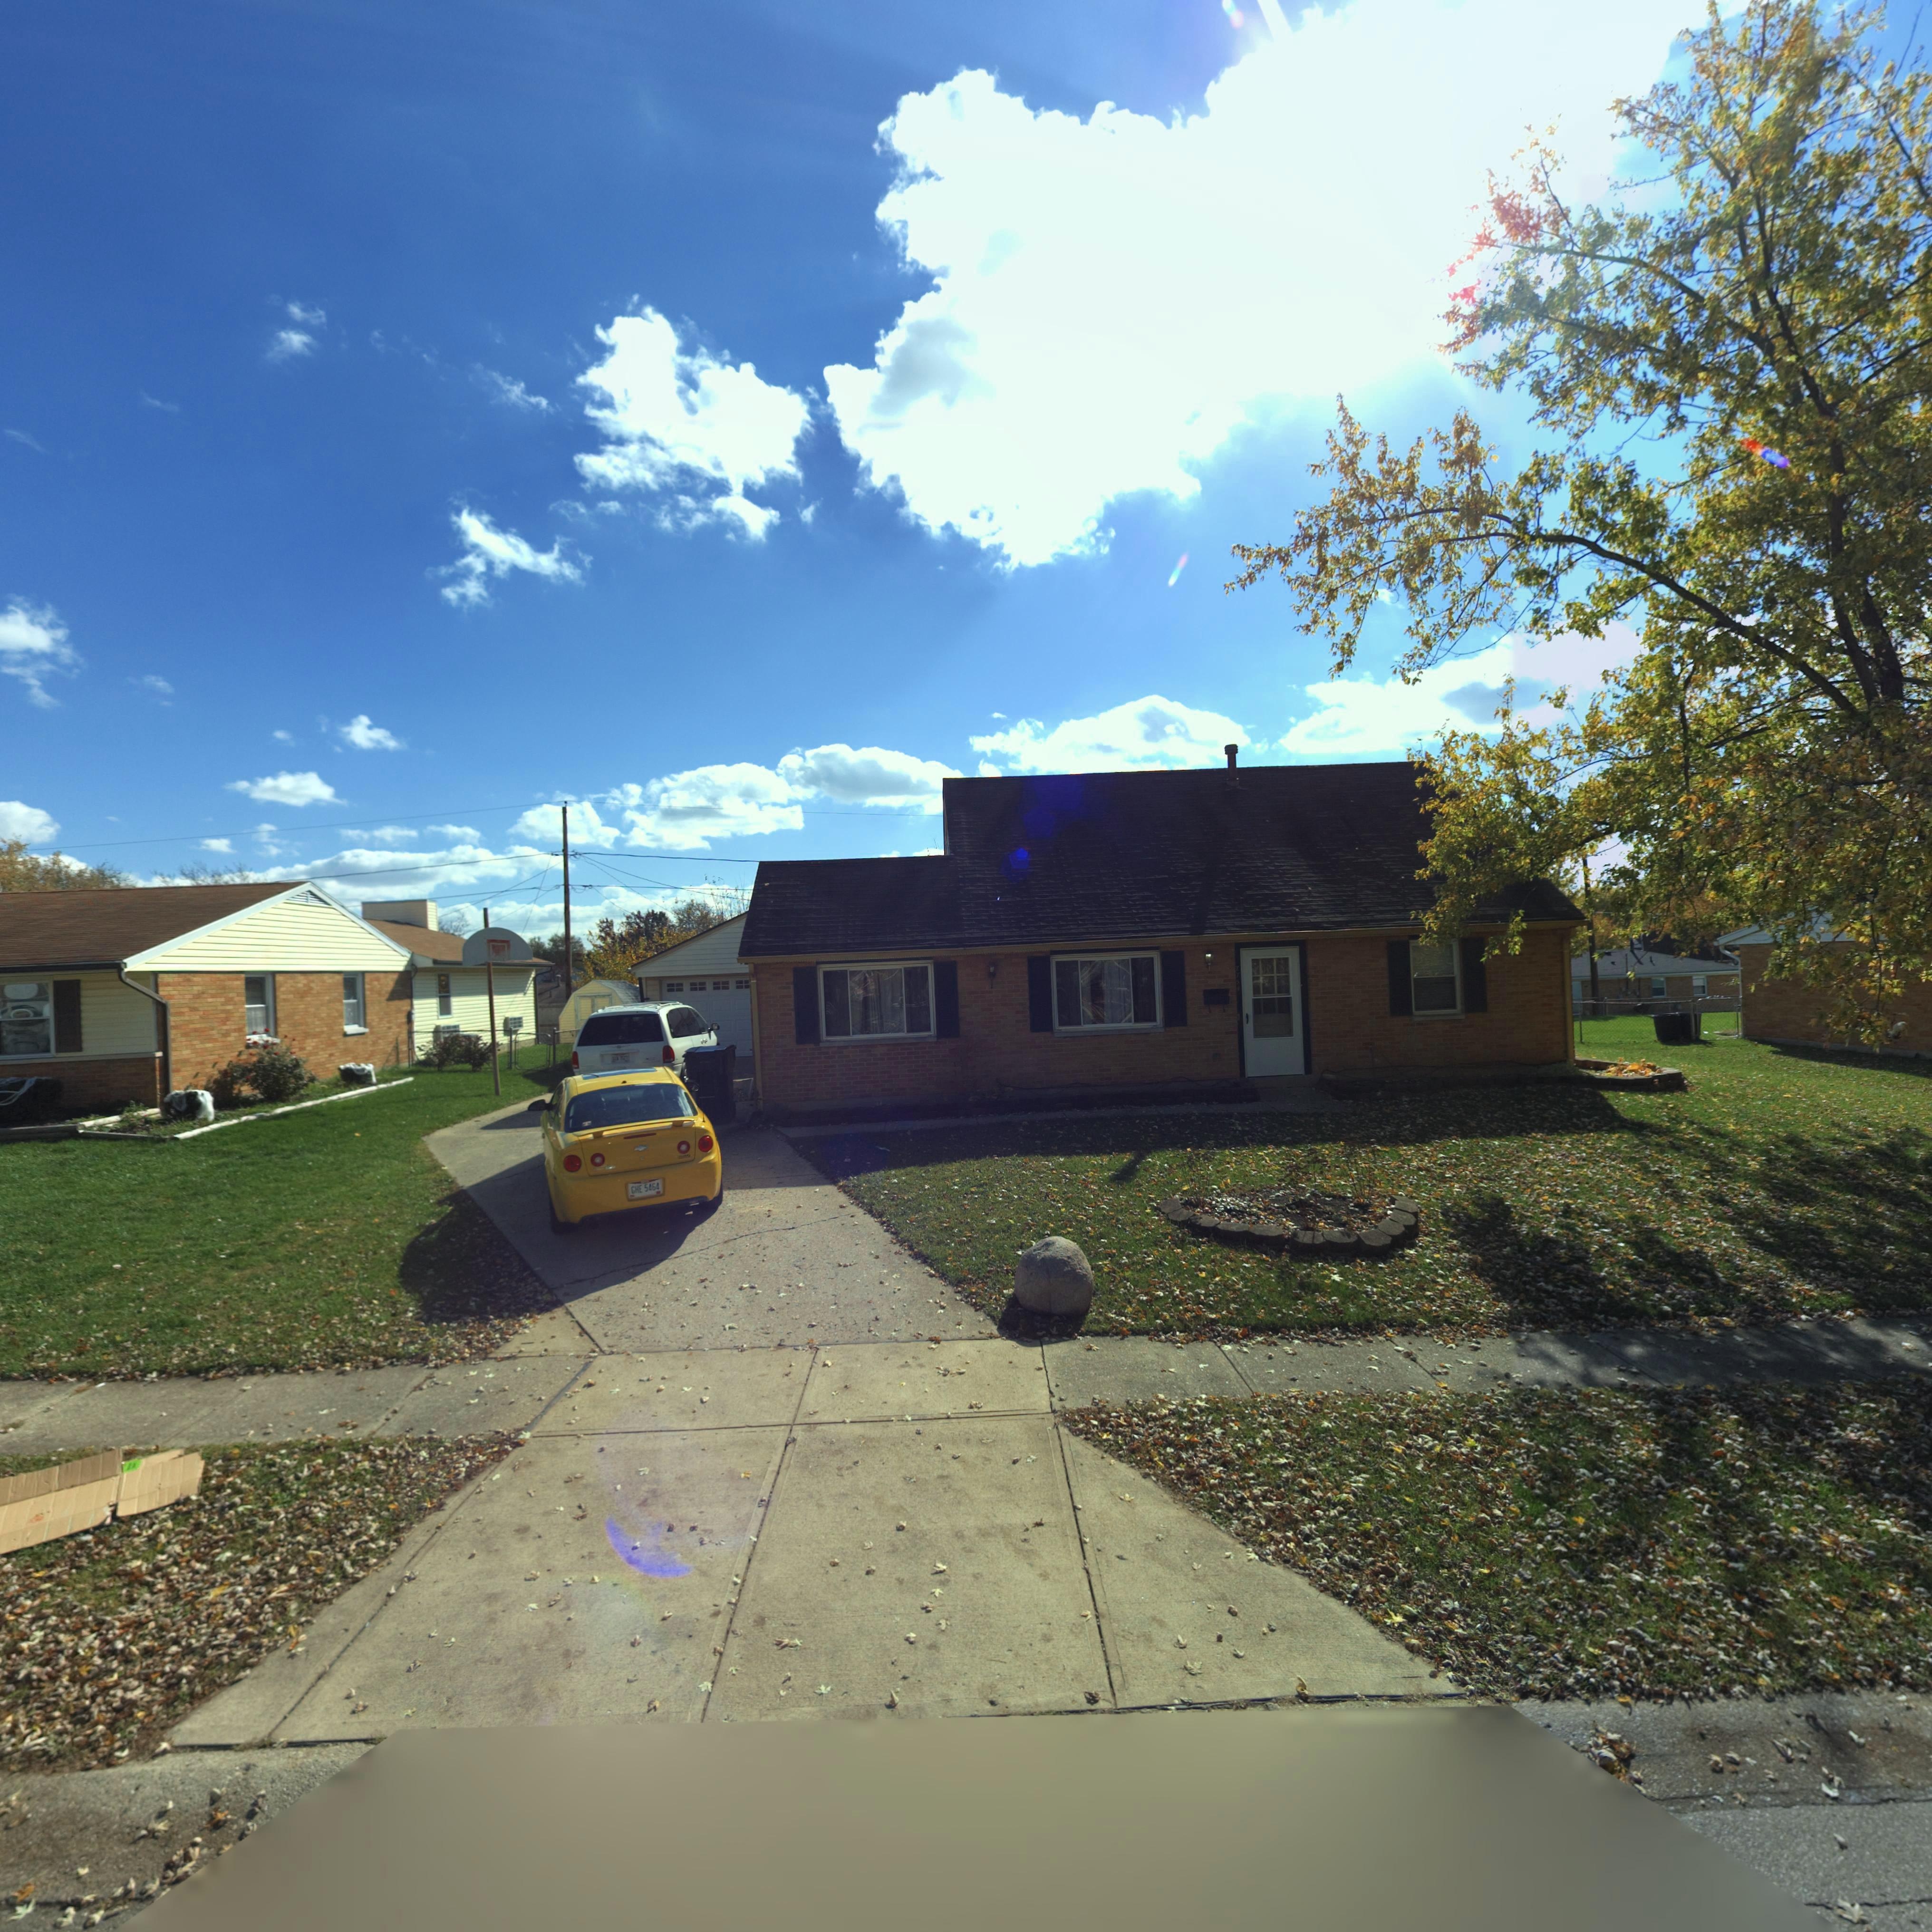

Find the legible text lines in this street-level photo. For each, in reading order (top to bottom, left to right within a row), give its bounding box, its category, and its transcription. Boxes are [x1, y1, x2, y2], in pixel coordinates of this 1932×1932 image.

[1235, 965, 1241, 993] StreetNumber: 7754